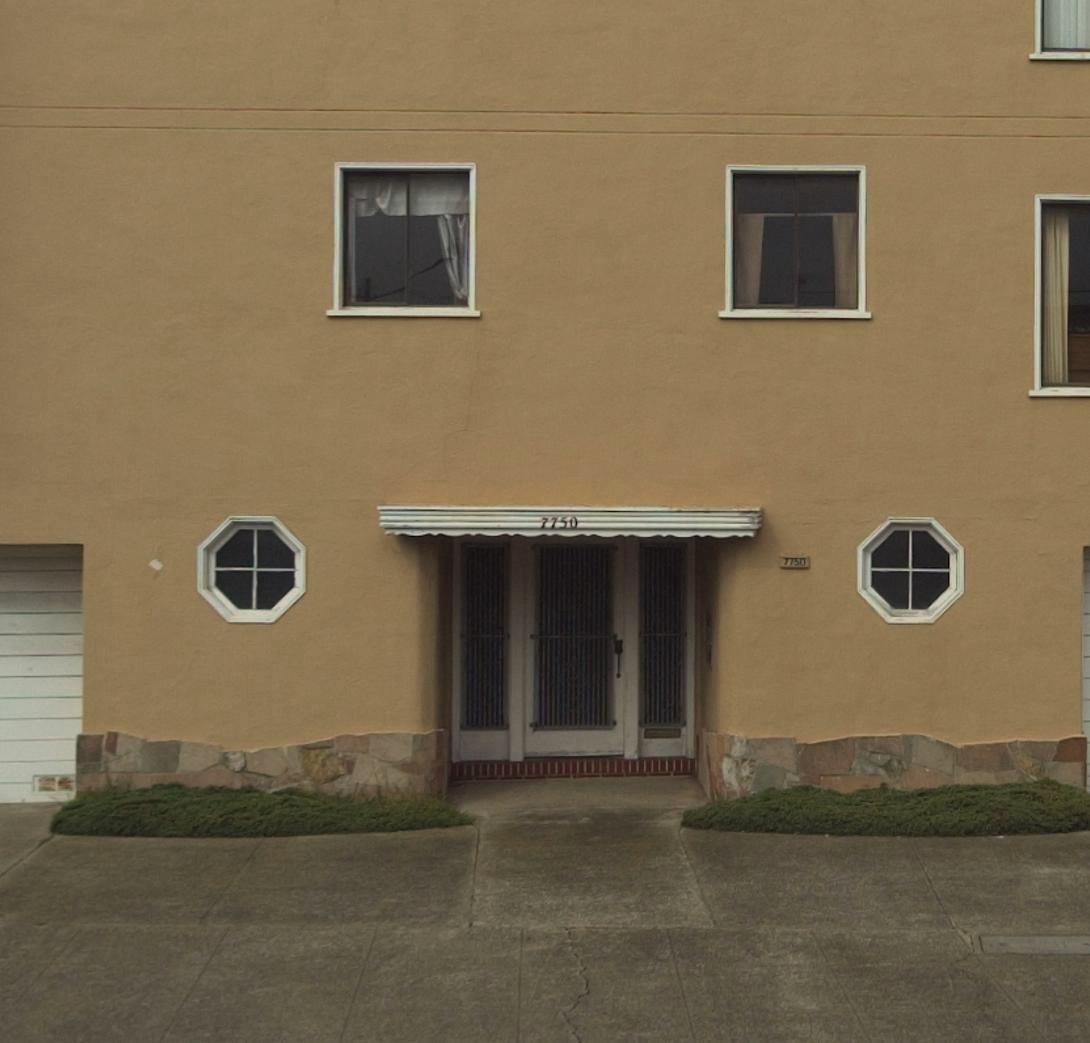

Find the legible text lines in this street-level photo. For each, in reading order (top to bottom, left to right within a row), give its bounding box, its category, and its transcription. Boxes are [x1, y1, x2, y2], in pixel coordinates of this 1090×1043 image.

[539, 515, 580, 530] StreetNumber: 7750
[782, 557, 806, 567] StreetNumber: 7750